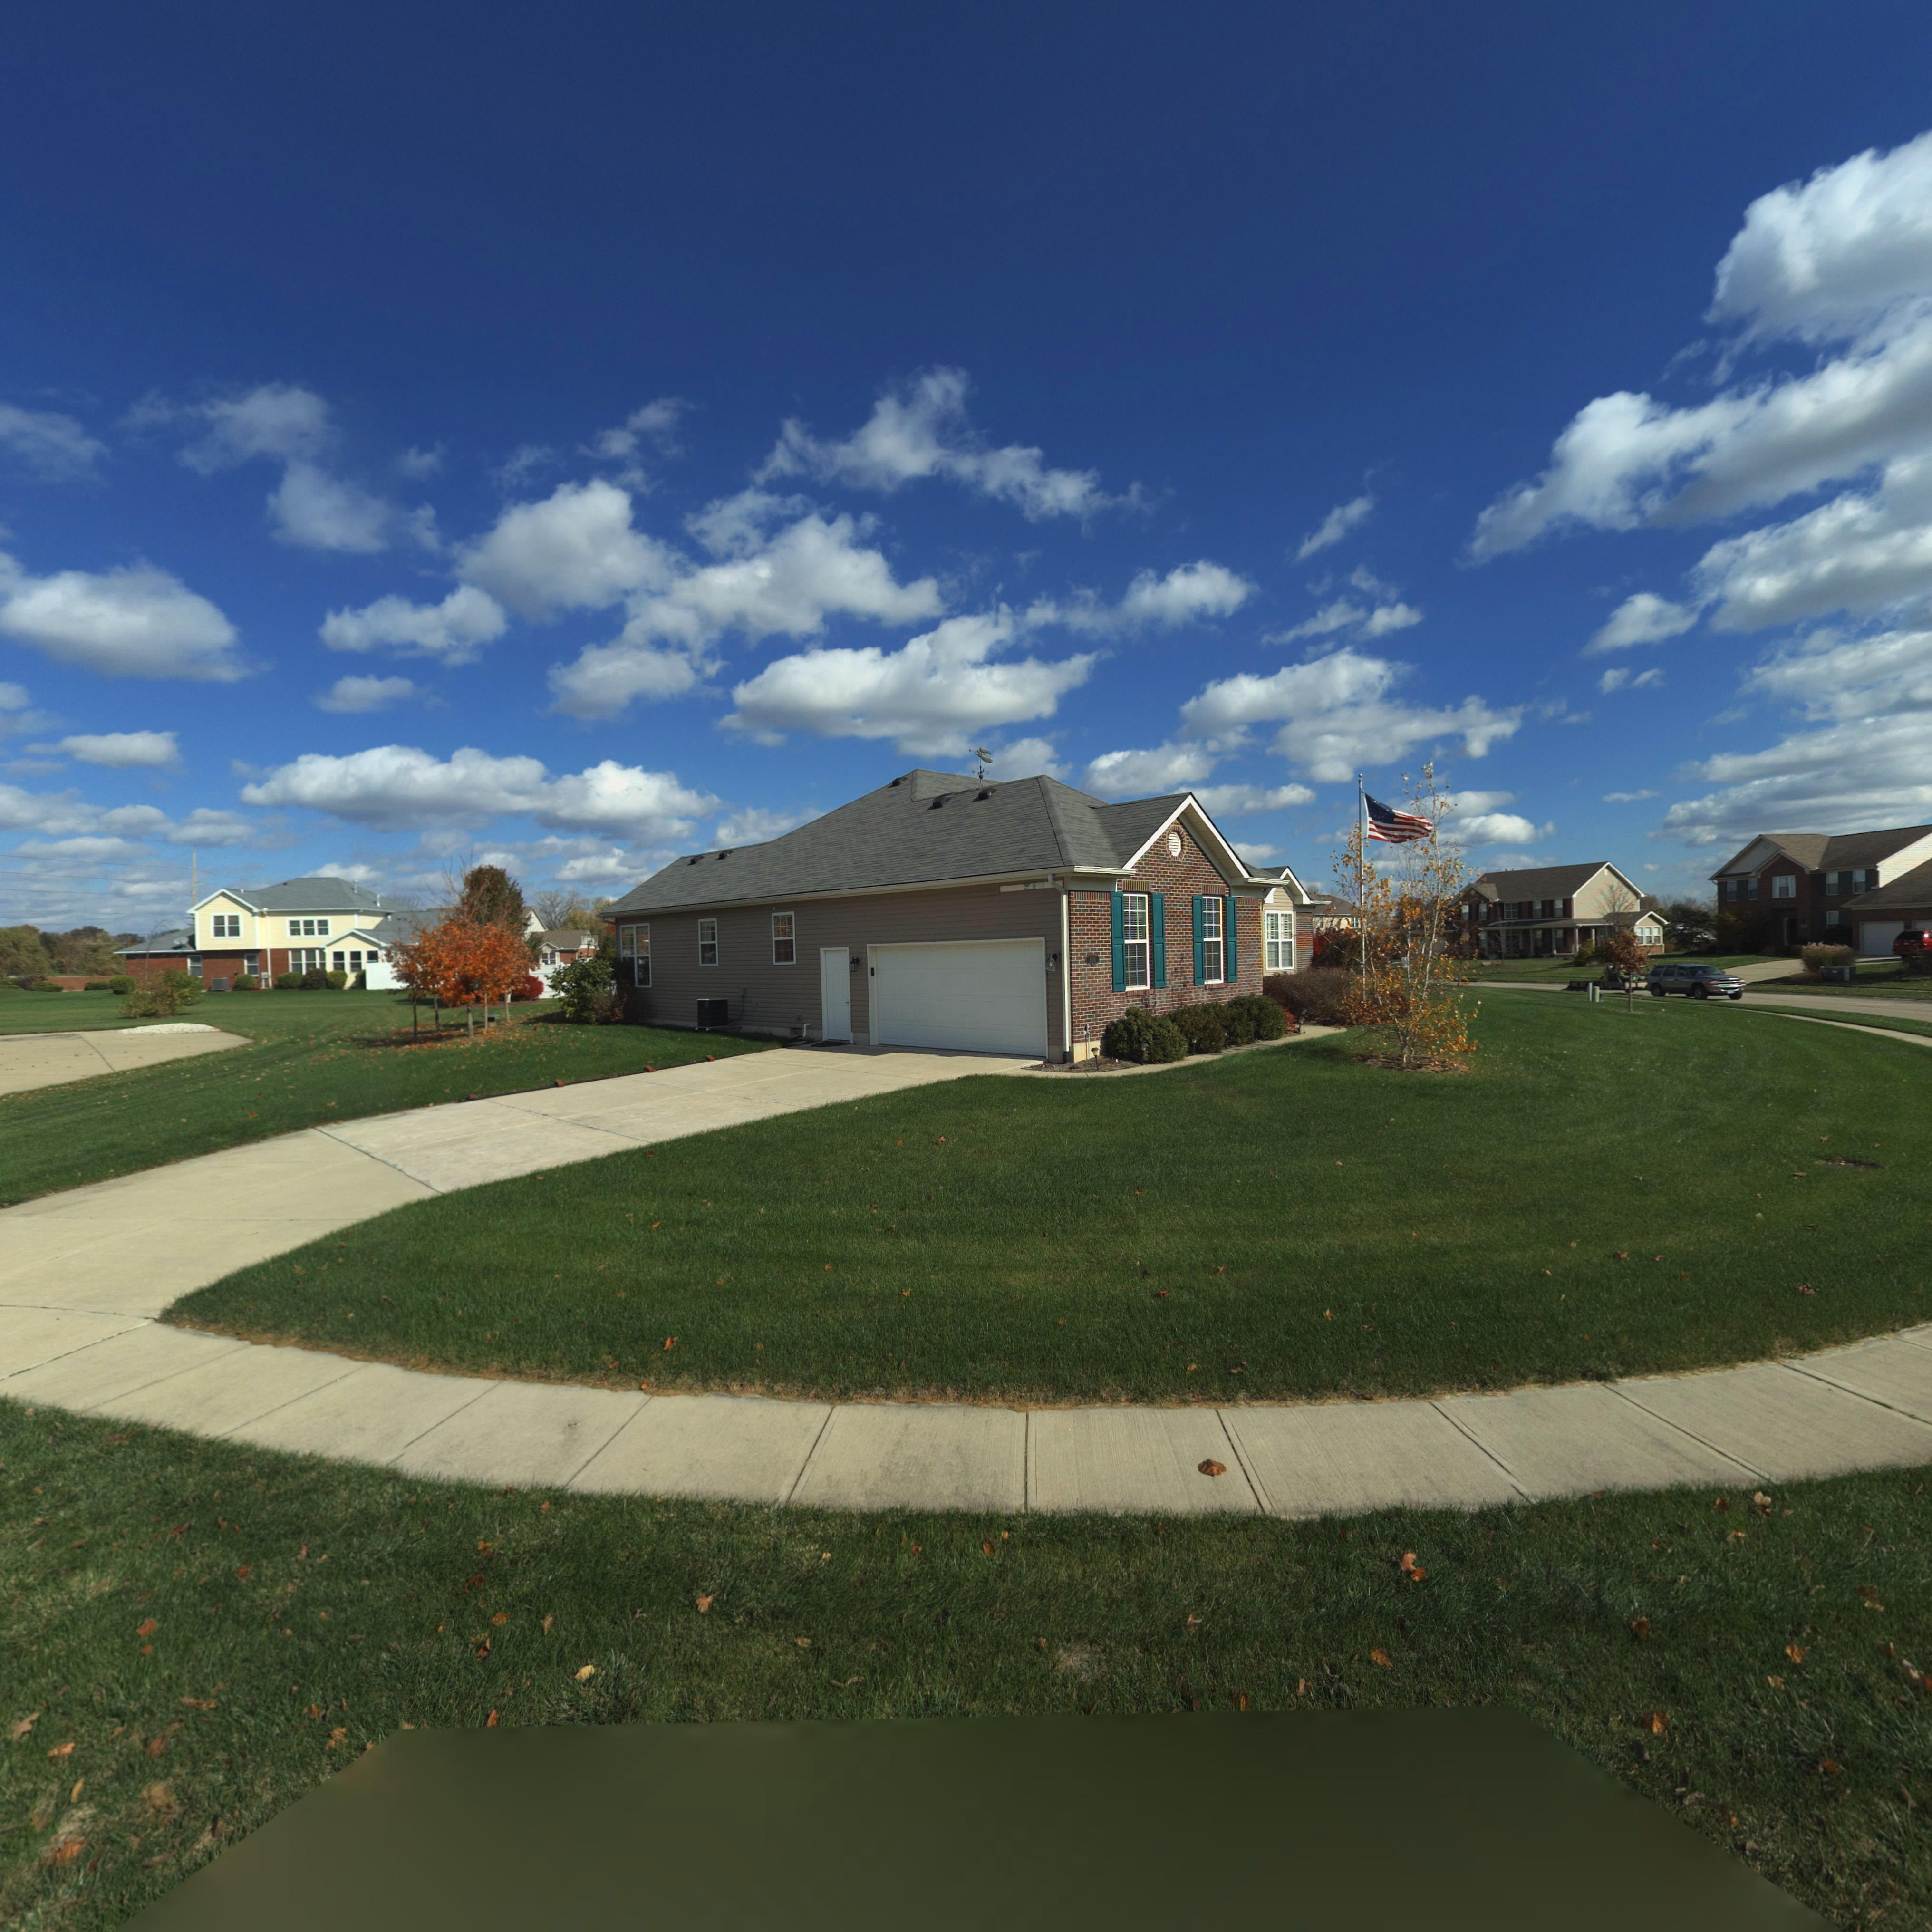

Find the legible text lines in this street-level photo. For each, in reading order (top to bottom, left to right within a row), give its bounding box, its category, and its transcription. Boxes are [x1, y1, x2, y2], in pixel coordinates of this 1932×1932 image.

[1089, 956, 1097, 963] StreetNumber: ***5